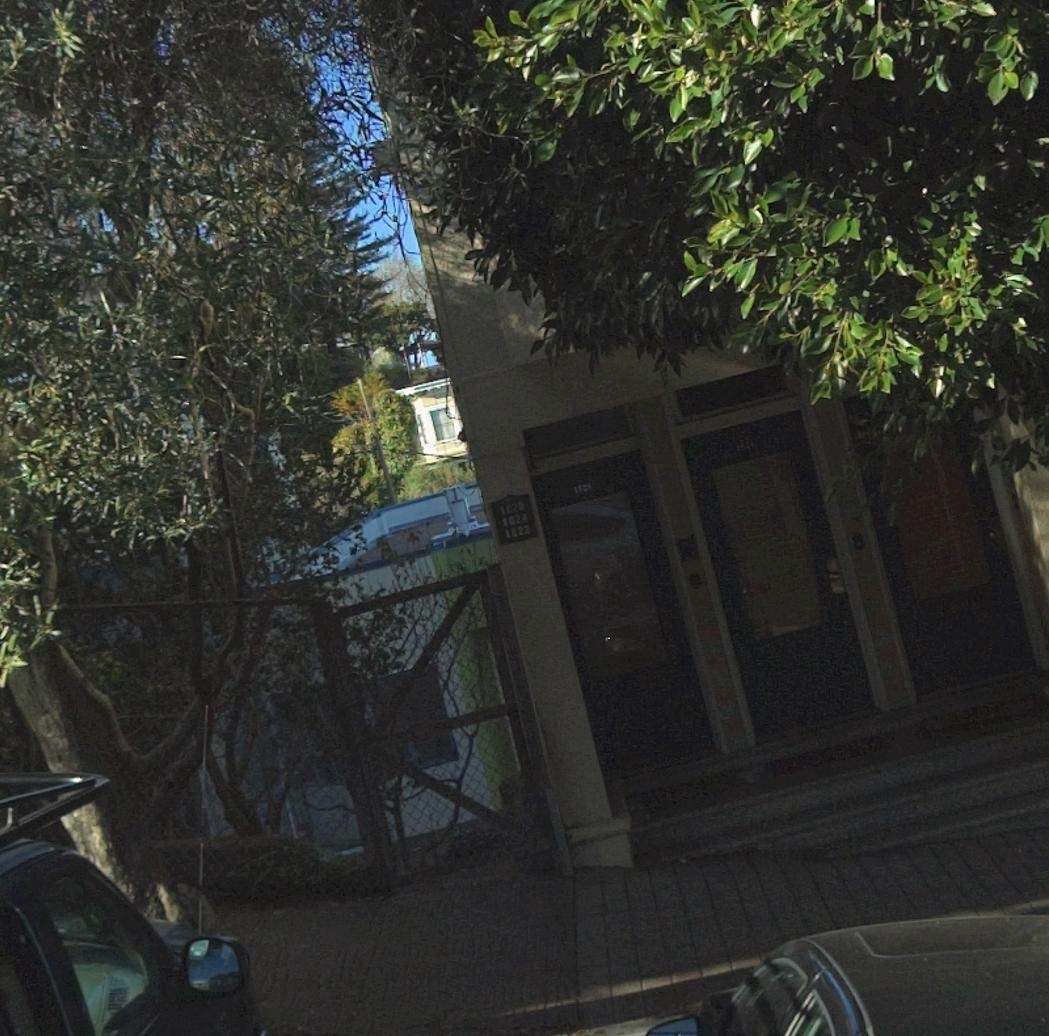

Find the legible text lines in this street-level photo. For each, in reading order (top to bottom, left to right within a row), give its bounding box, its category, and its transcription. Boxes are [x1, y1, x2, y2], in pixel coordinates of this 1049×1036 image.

[735, 436, 757, 453] StreetNumber: 1024
[572, 481, 594, 495] StreetNumber: 1026
[498, 499, 527, 516] StreetNumber: 1026
[500, 512, 530, 528] StreetNumber: 1024
[504, 523, 532, 540] StreetNumber: 1022